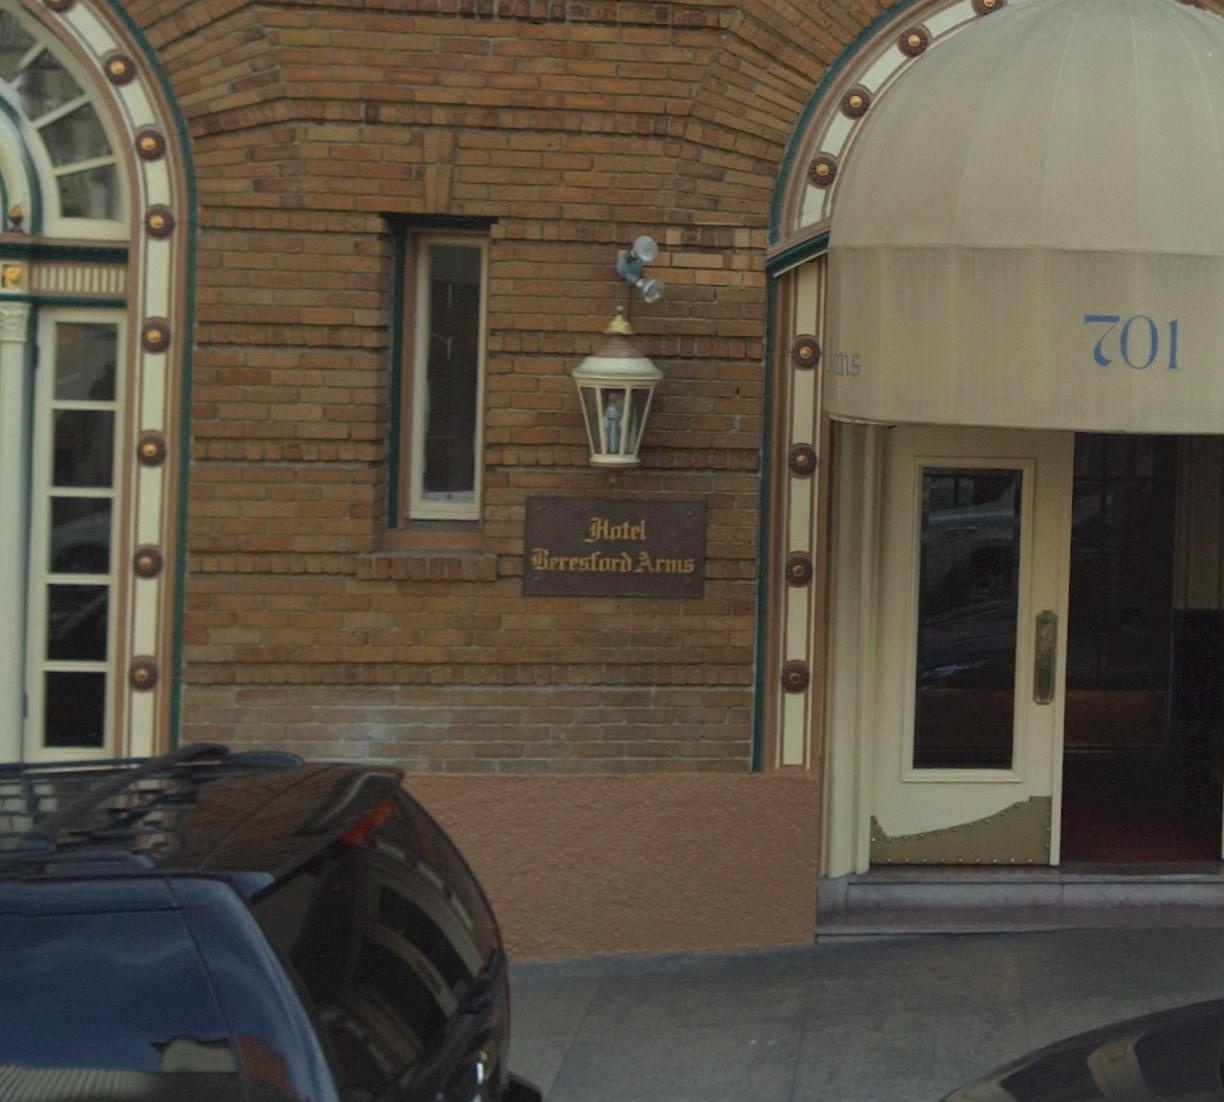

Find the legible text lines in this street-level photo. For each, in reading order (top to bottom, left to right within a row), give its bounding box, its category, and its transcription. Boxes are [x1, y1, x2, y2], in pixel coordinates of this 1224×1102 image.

[1081, 311, 1183, 373] StreetNumber: 701
[847, 350, 865, 382] None: s
[585, 512, 650, 545] BusinessName: Hotel
[529, 544, 698, 577] BusinessName: Beresford Arms